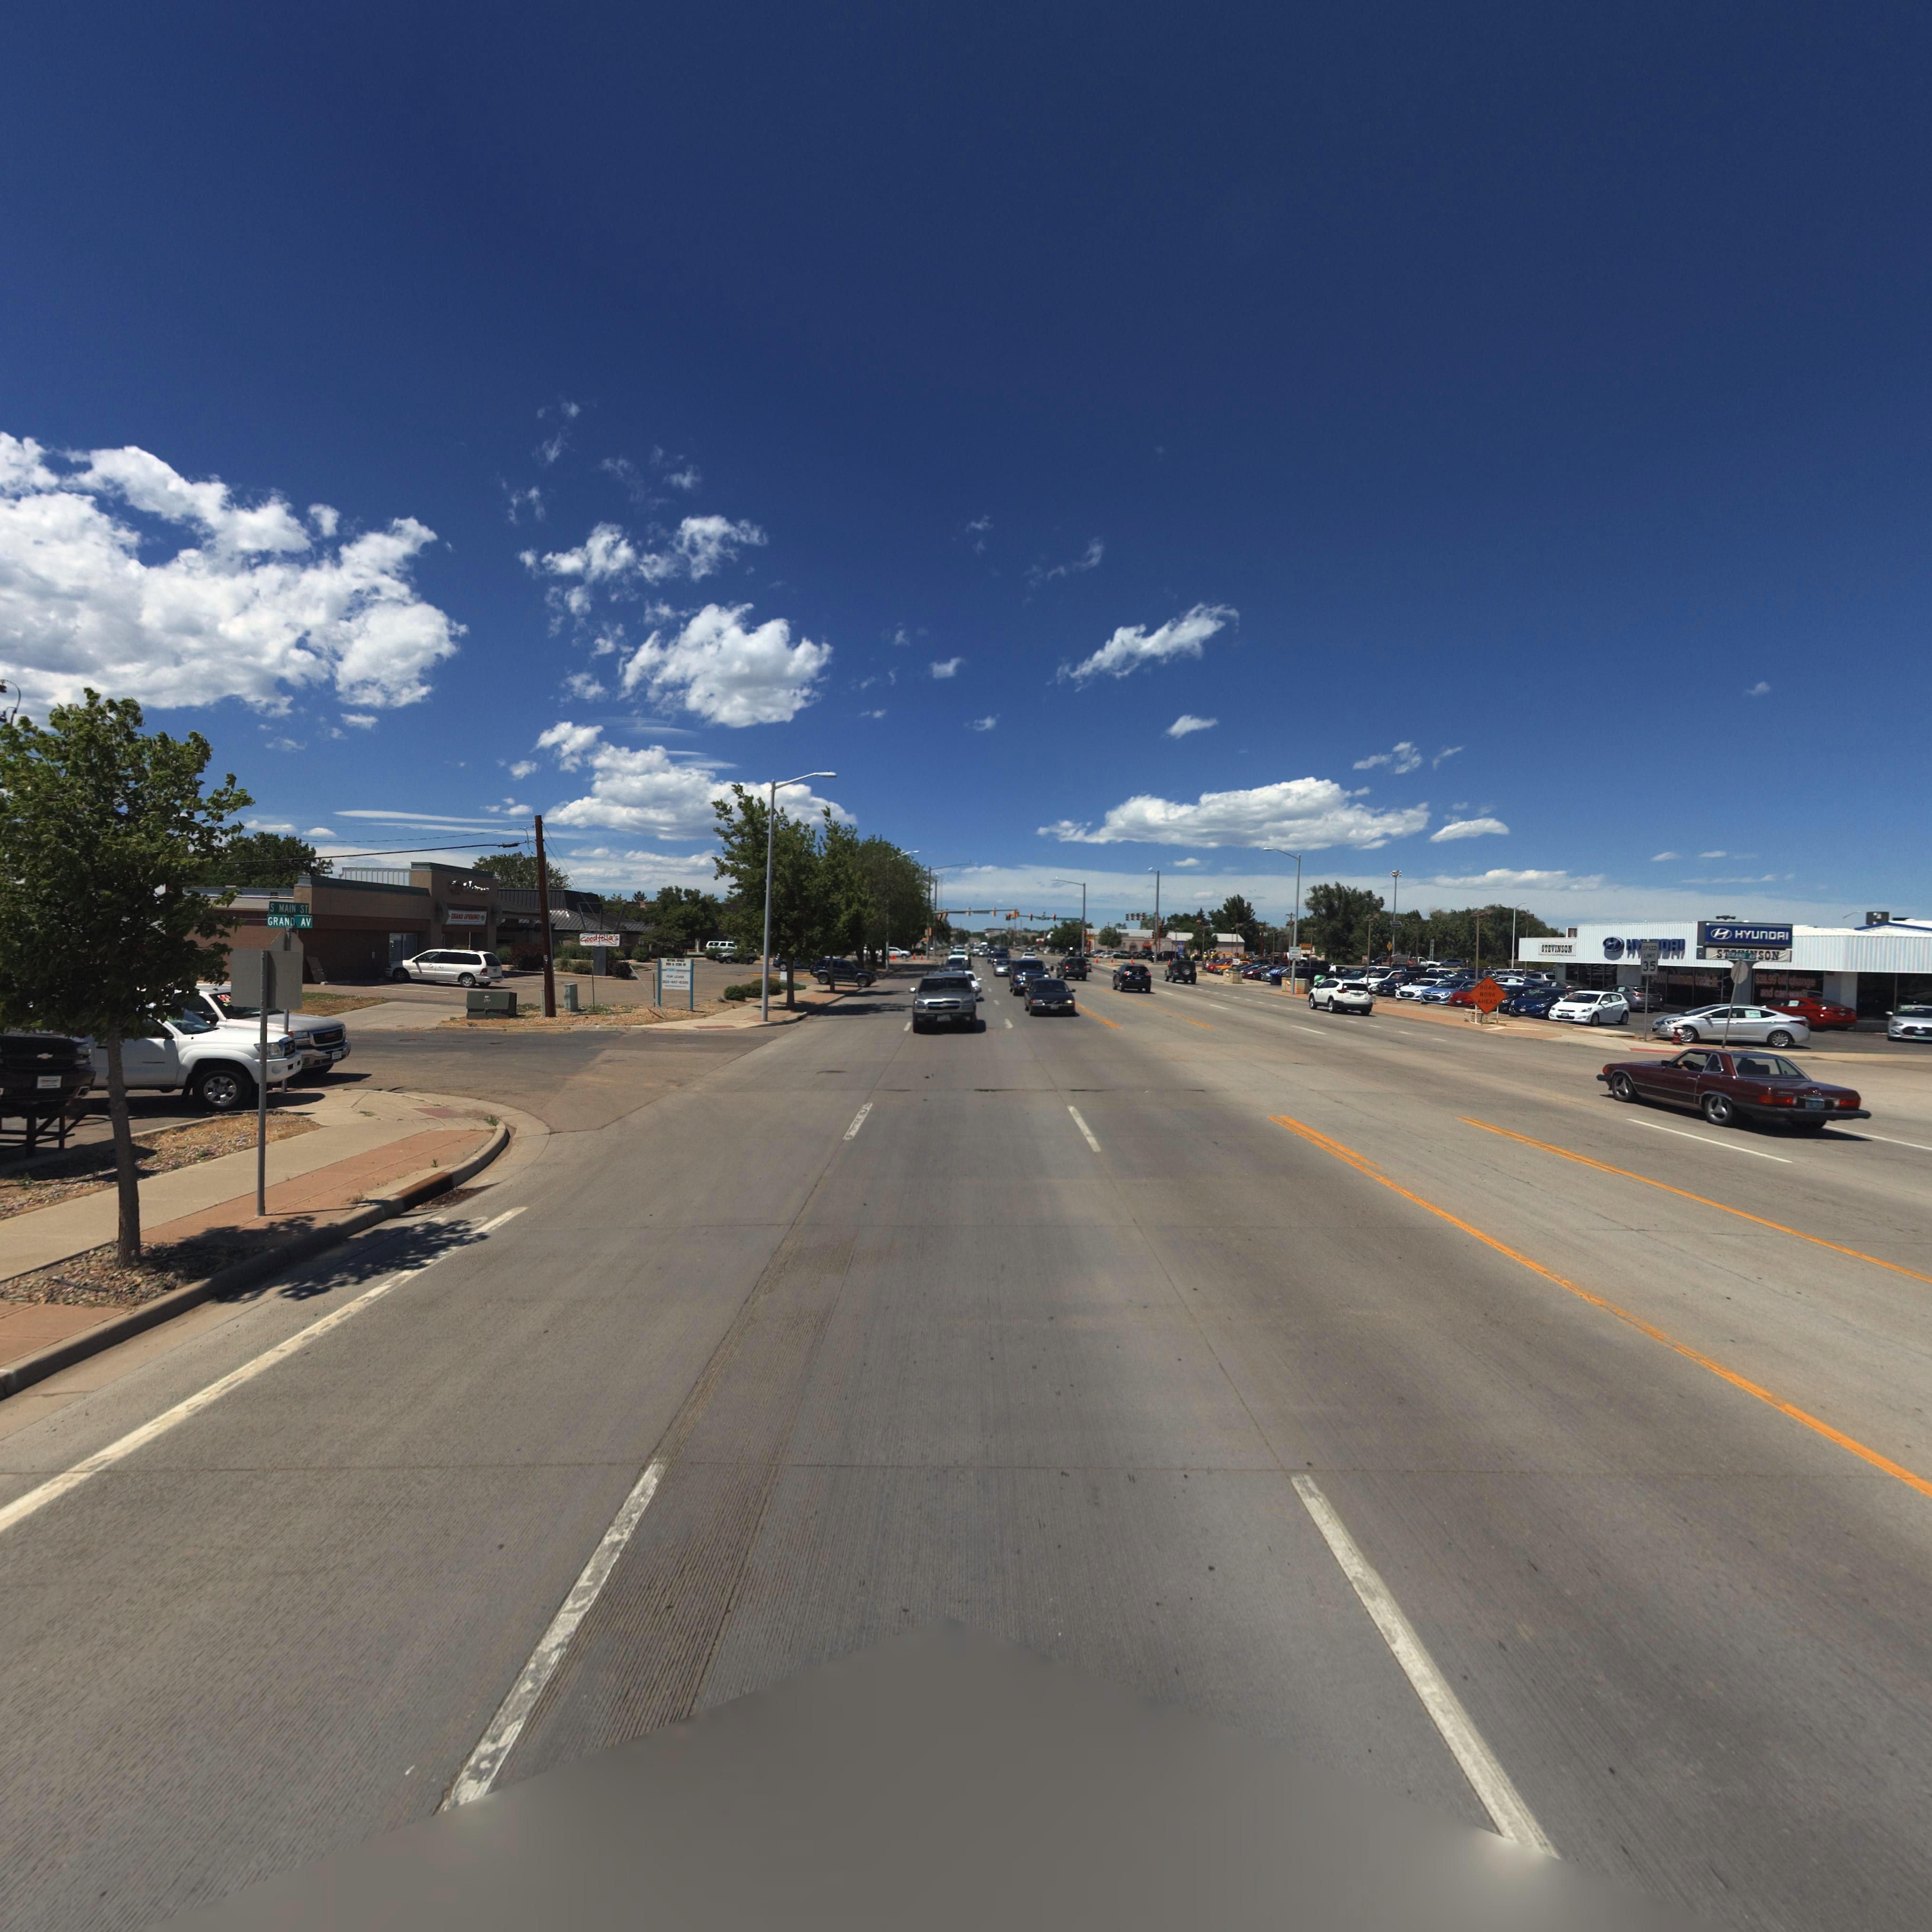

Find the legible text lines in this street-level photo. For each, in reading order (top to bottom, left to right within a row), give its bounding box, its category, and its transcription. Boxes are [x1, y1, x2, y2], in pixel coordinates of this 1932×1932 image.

[463, 879, 491, 896] BusinessName: *h*****y
[269, 903, 309, 913] StreetName: S MAIN ST
[267, 916, 311, 927] StreetName: GRAND AV
[580, 933, 619, 943] BusinessName: Goodfella's
[1734, 930, 1789, 941] BusinessName: HYUNDAI
[1541, 944, 1572, 953] BusinessName: STEVINSON
[1626, 939, 1684, 950] BusinessName: HYUNDAI
[1727, 952, 1756, 959] StreetName: GRAND AV
[1716, 949, 1780, 960] BusinessName: ST****SON